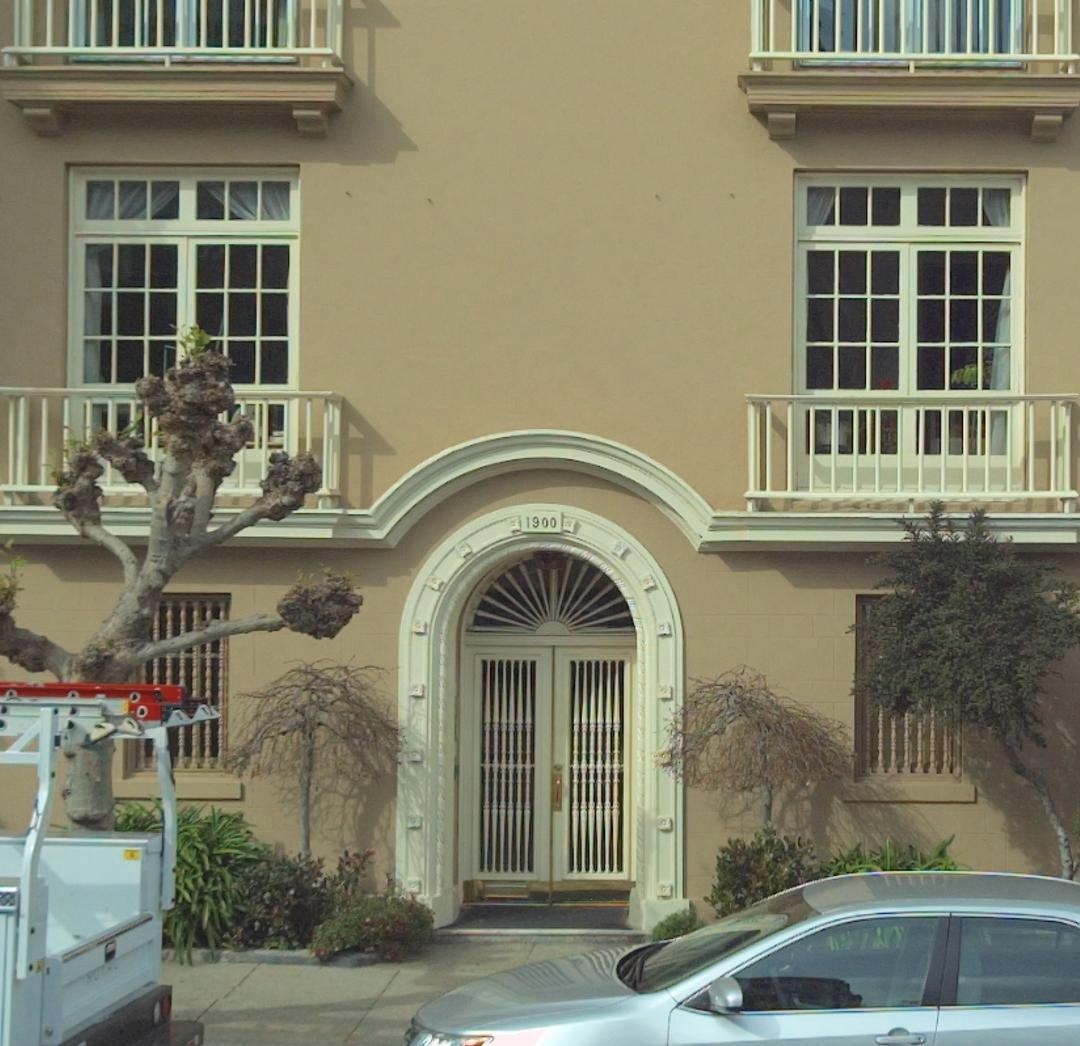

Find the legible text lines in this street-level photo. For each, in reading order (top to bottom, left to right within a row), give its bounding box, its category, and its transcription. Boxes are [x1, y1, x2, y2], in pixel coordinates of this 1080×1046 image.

[523, 514, 559, 531] StreetNumber: 1900